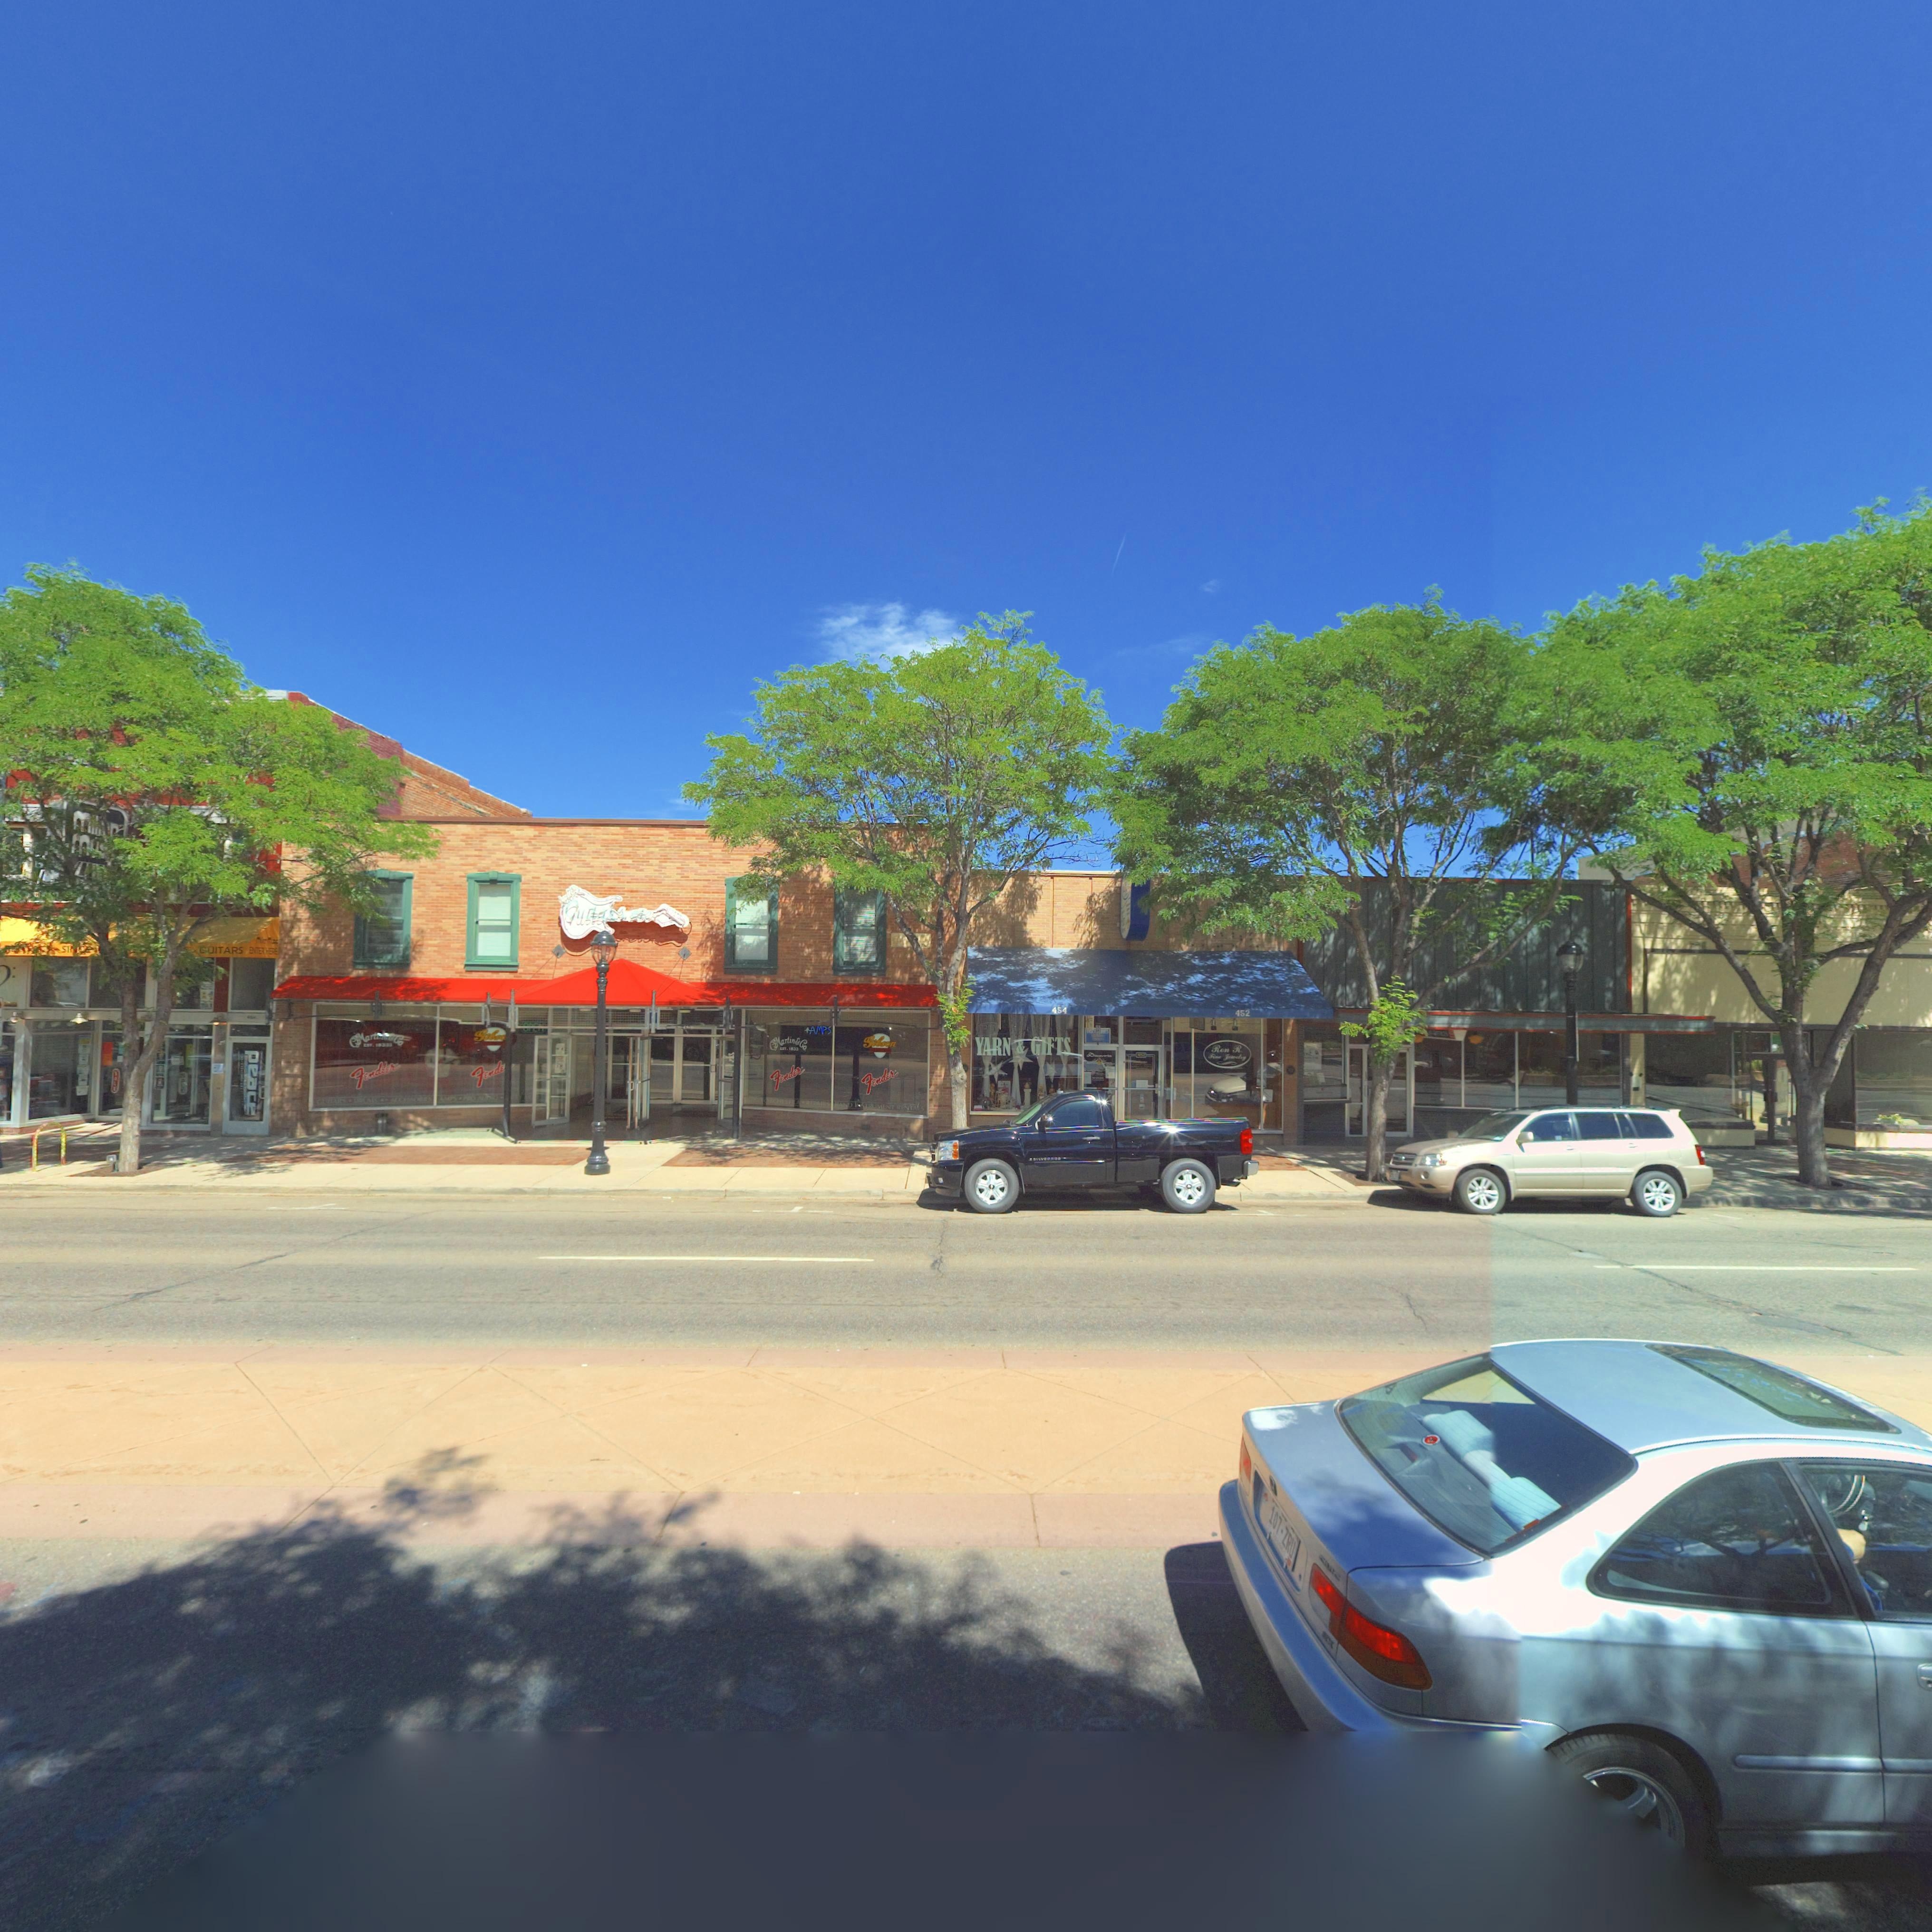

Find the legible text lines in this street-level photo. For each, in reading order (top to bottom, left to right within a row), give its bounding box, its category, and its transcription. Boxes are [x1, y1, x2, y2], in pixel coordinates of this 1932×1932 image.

[563, 898, 626, 919] BusinessName: Guitars
[1052, 1006, 1067, 1014] StreetNumber: 454
[1235, 1009, 1250, 1017] StreetNumber: 452
[1210, 1044, 1243, 1053] BusinessName: Ron R.
[1207, 1053, 1247, 1062] BusinessName: Fine Jewlery